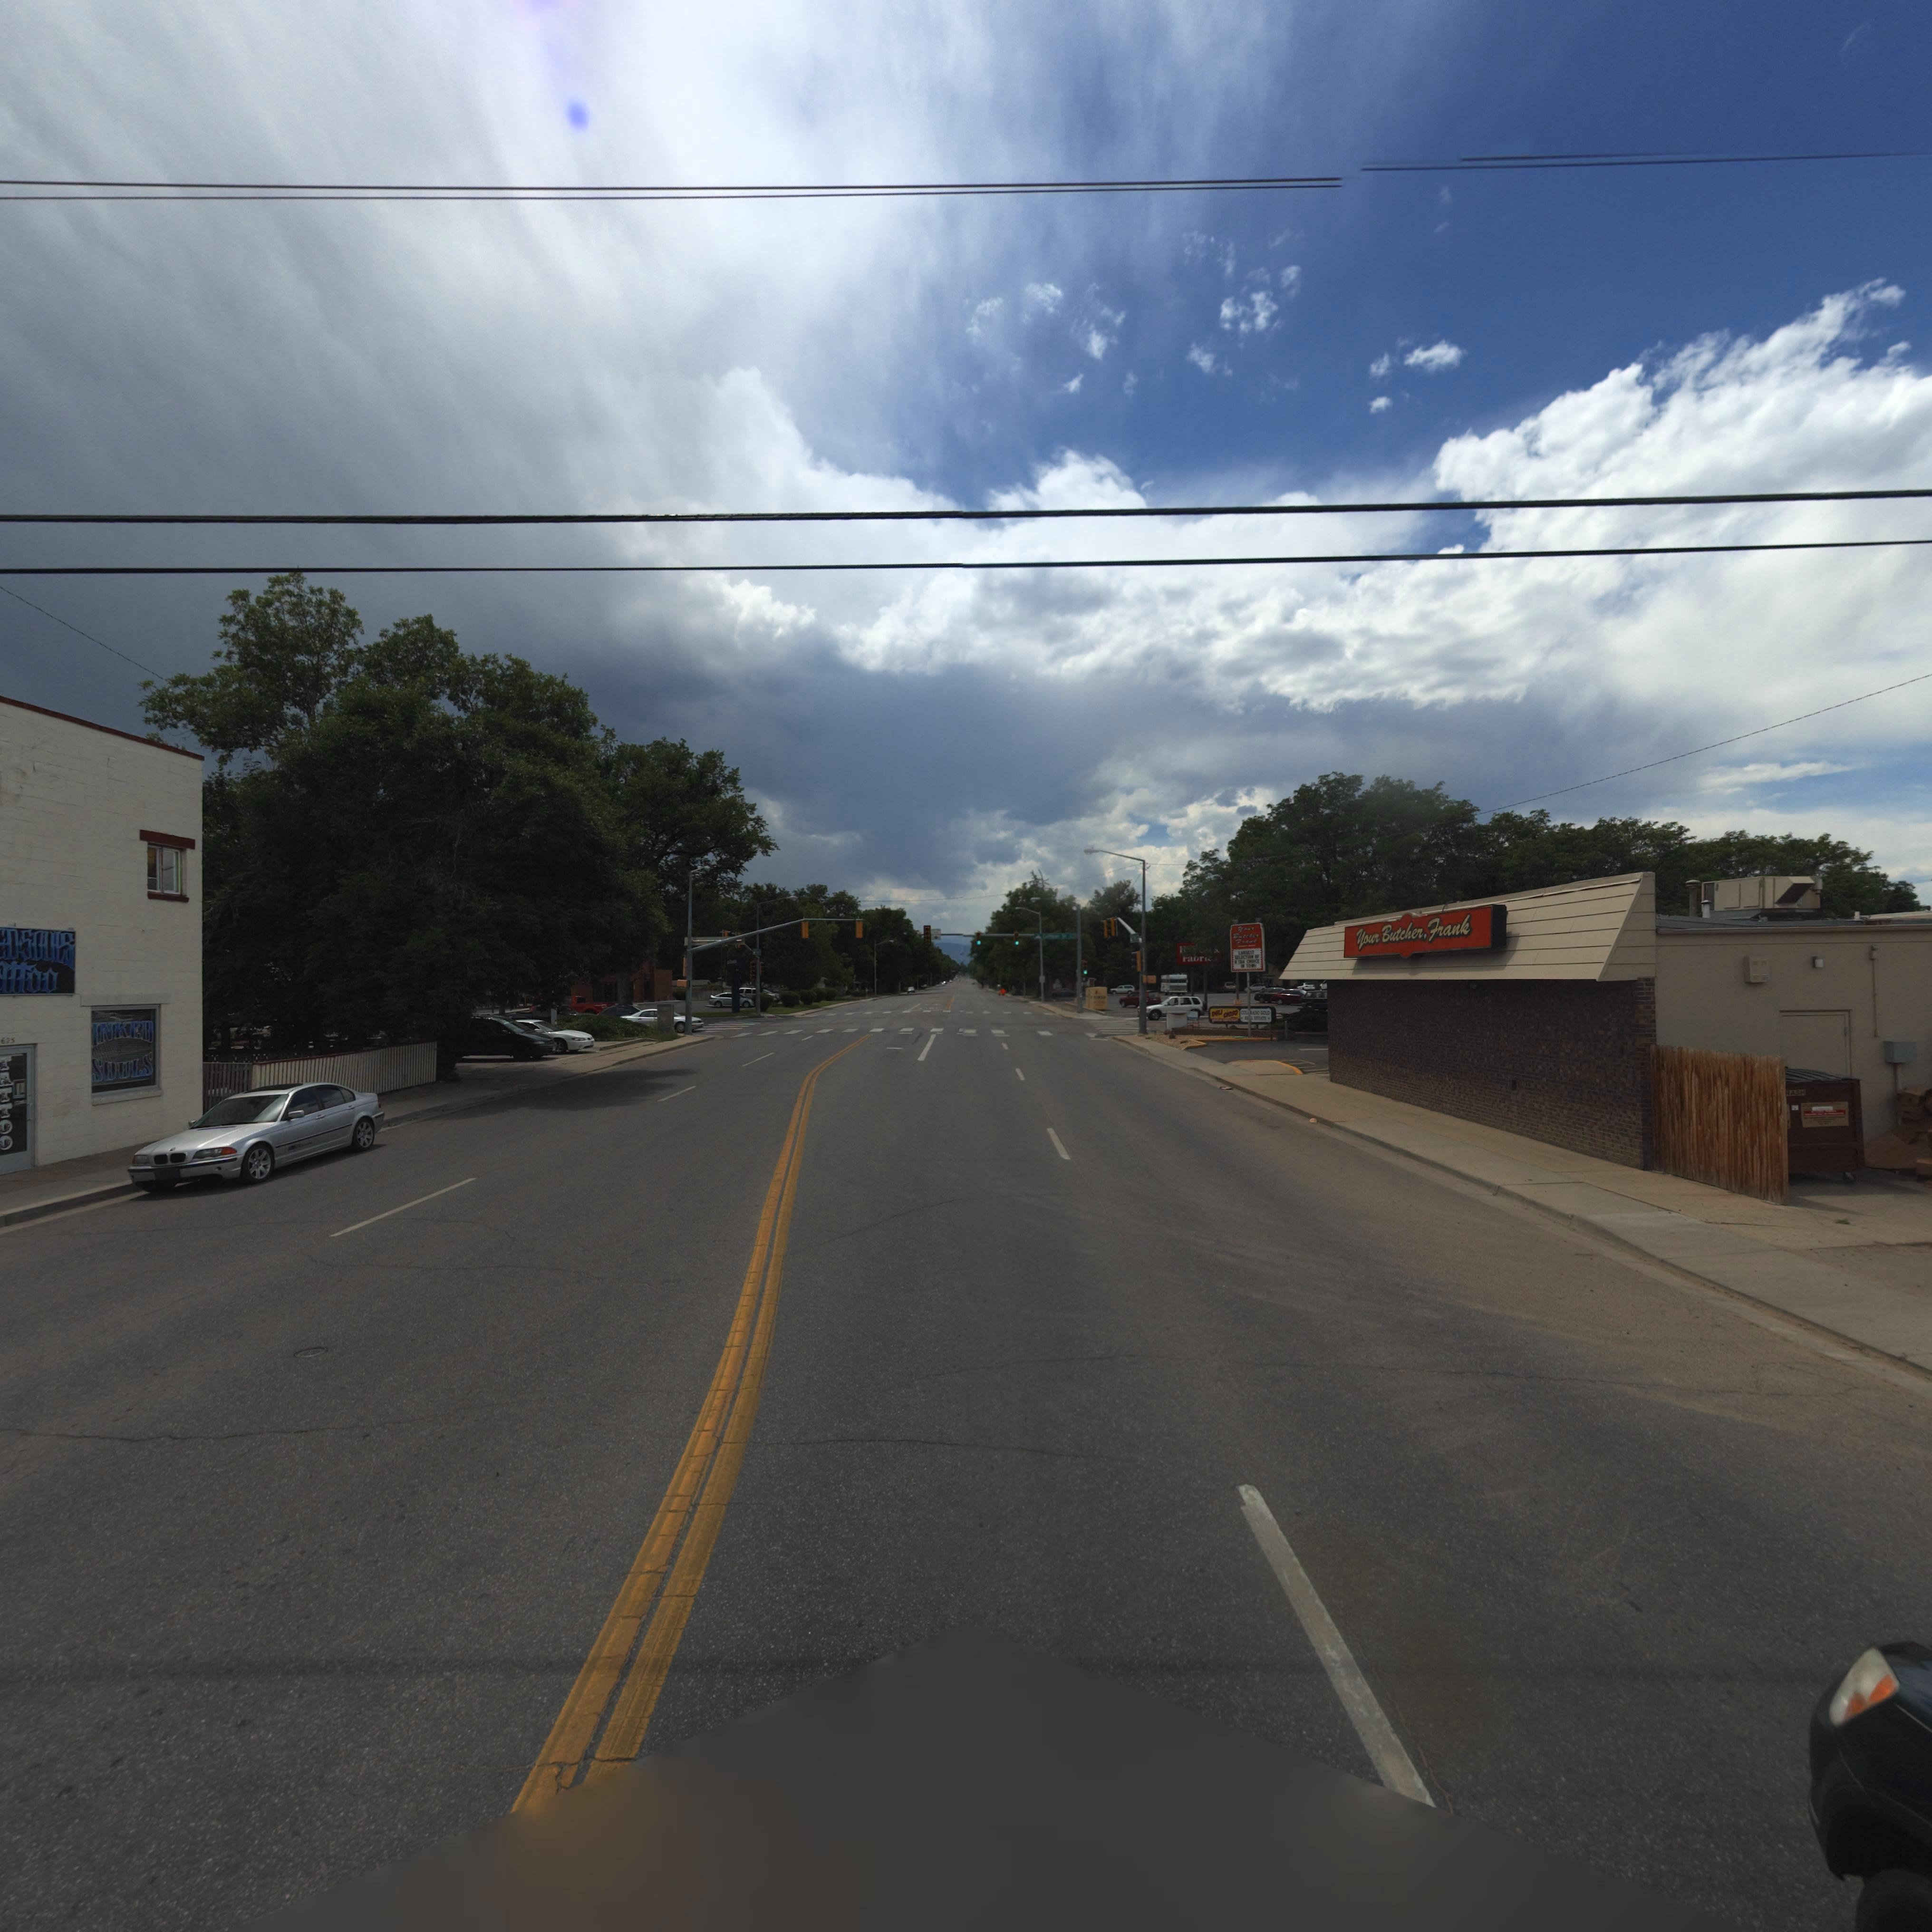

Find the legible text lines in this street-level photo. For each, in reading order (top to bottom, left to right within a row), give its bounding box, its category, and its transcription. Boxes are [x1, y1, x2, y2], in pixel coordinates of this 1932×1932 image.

[1042, 933, 1066, 938] None: C****** St
[1232, 933, 1258, 938] BusinessName: Buthcer
[1237, 926, 1254, 933] BusinessName: Your
[1356, 913, 1471, 951] BusinessName: Your Butcher, Frank
[1235, 938, 1257, 944] BusinessName: Frank
[5, 927, 74, 971] BusinessName: D*SOULS
[1183, 952, 1217, 962] BusinessName: ***r***
[726, 958, 737, 965] BusinessName: usbank
[8, 960, 58, 994] BusinessName: TTOO
[1211, 1009, 1223, 1016] BusinessName: DELI
[1223, 1009, 1238, 1018] BusinessName: cioso
[1240, 1010, 1270, 1014] BusinessName: COLORADO GOLD
[1245, 1016, 1266, 1020] BusinessName: RE*L ESTATE
[91, 1020, 154, 1047] BusinessName: INKED
[1, 1036, 15, 1044] StreetNumber: 625
[91, 1050, 153, 1083] BusinessName: SOULS
[0, 1055, 12, 1150] BusinessName: TATTOO